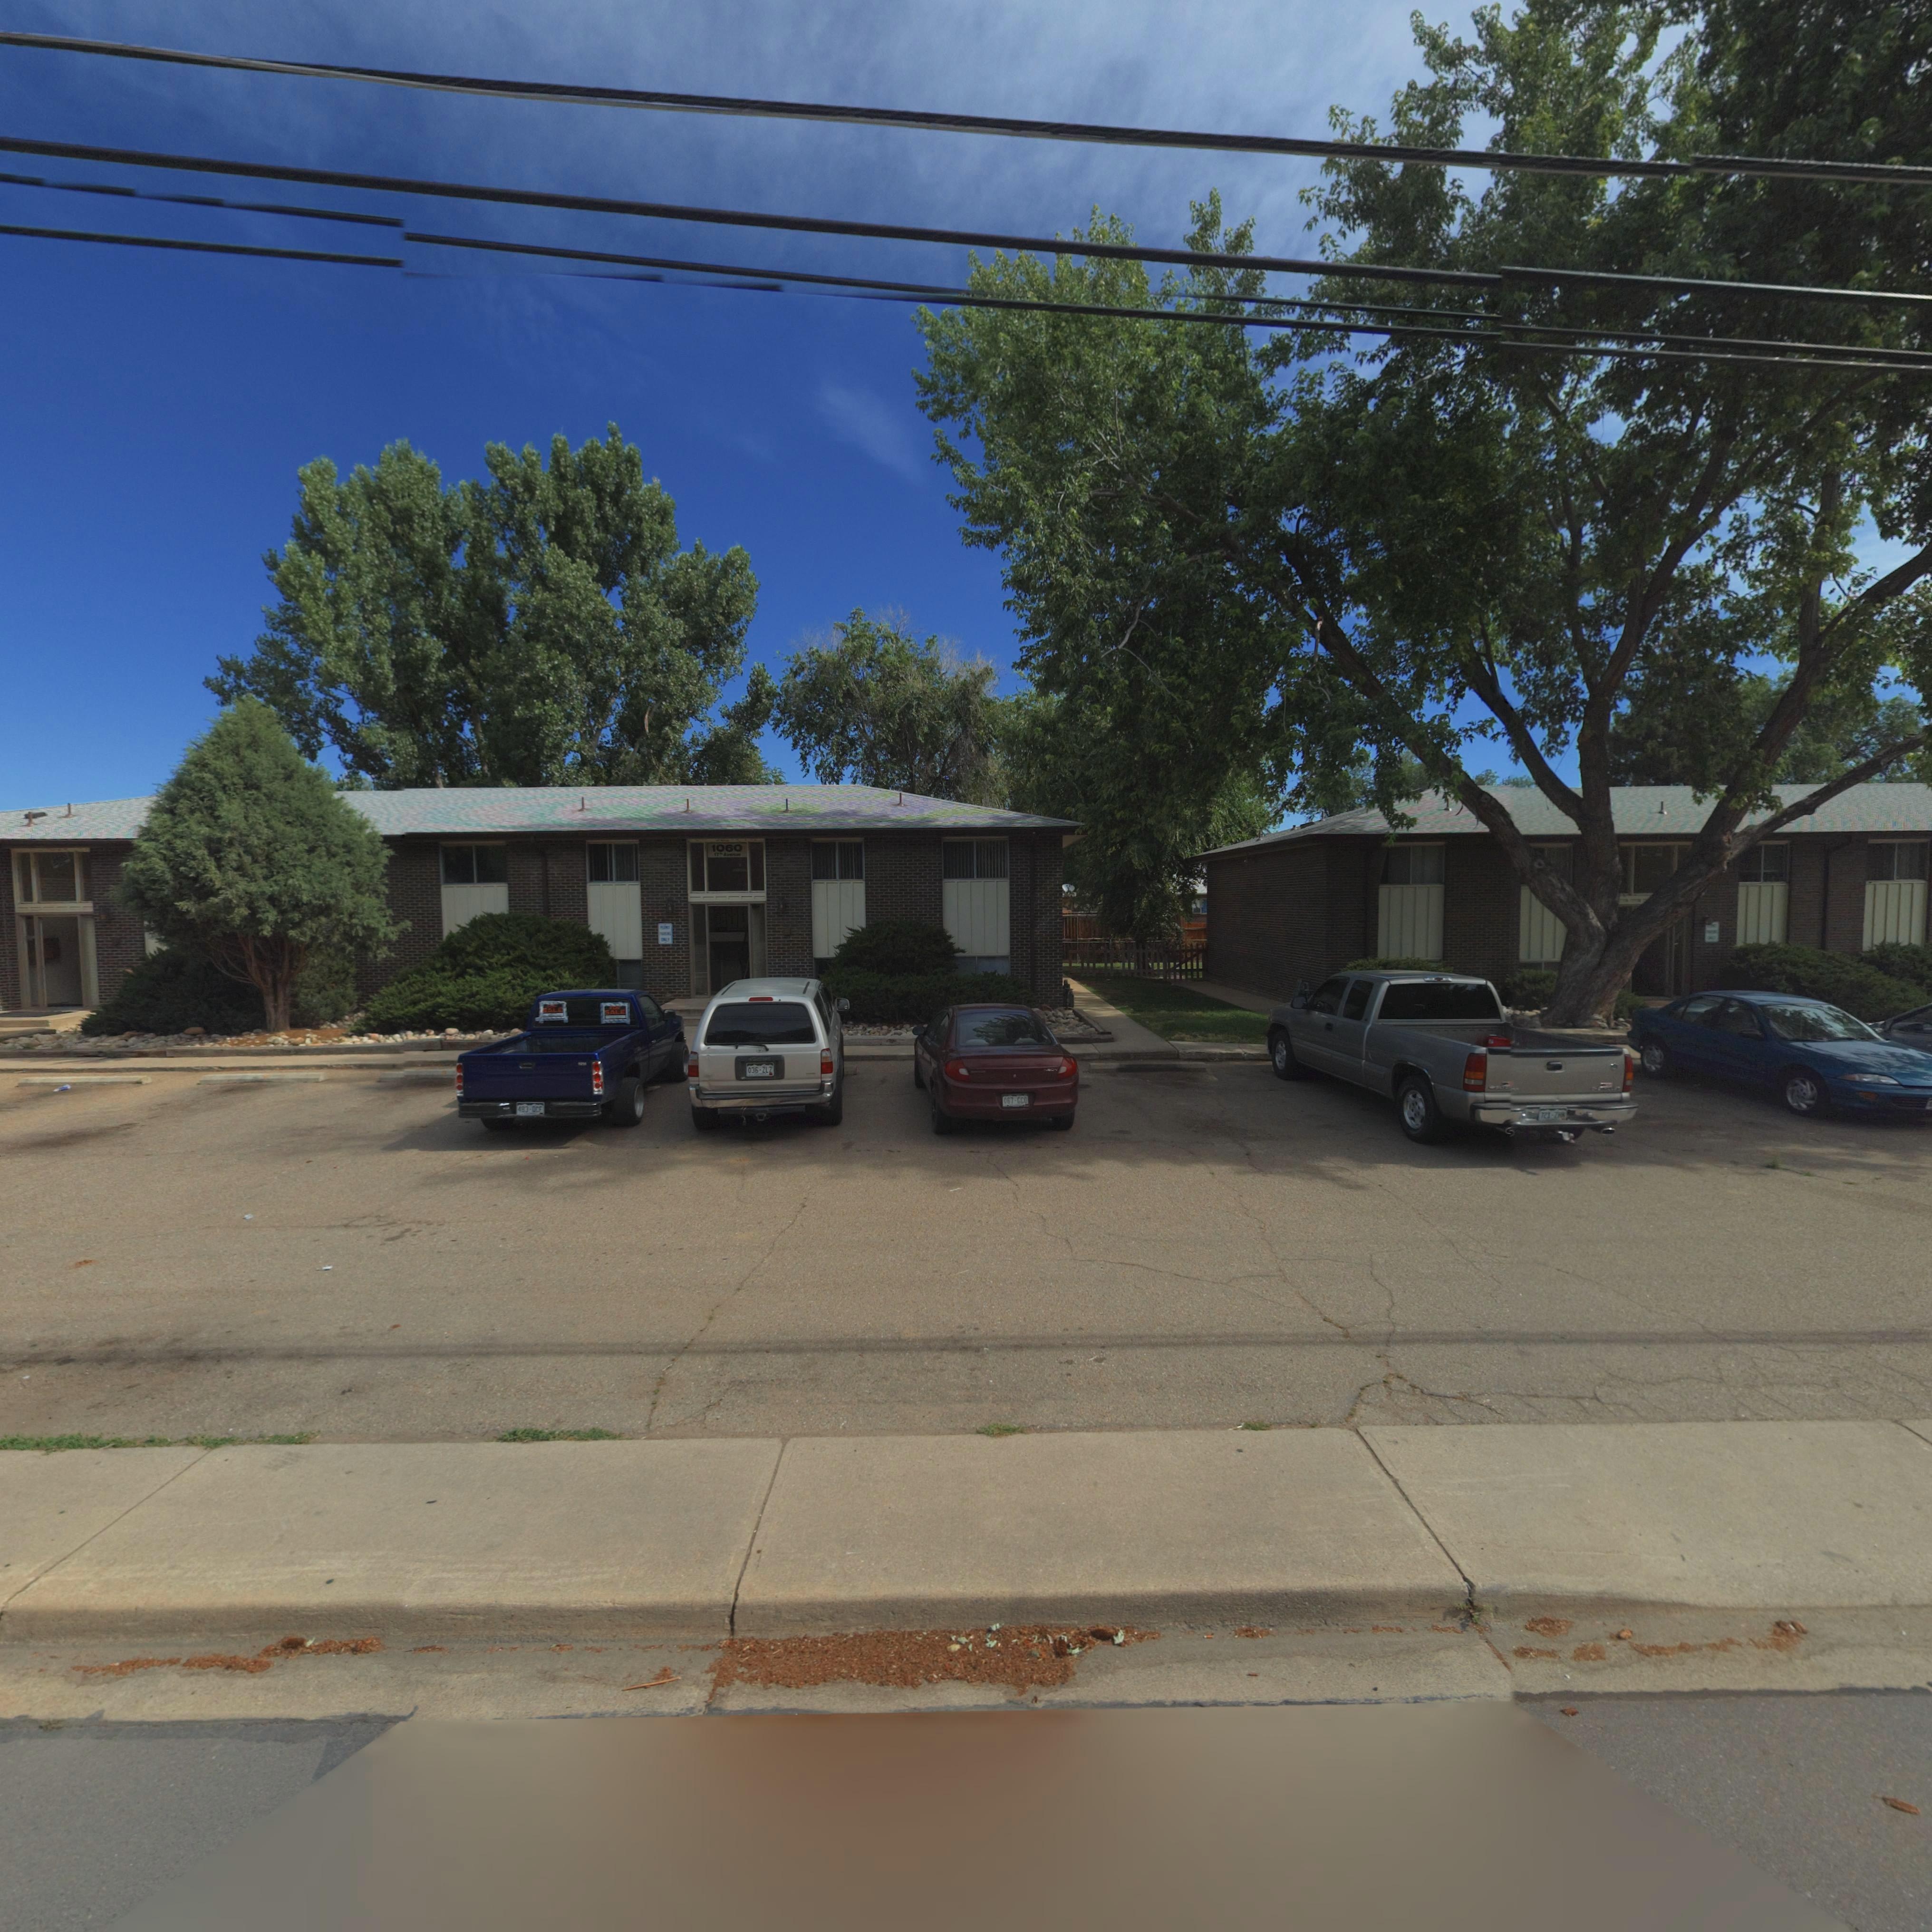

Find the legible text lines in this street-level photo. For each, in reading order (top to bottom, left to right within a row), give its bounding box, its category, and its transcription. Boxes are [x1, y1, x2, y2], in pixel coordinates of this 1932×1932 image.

[711, 843, 743, 852] StreetNumber: 1060
[714, 851, 741, 856] StreetName: 17** A*****